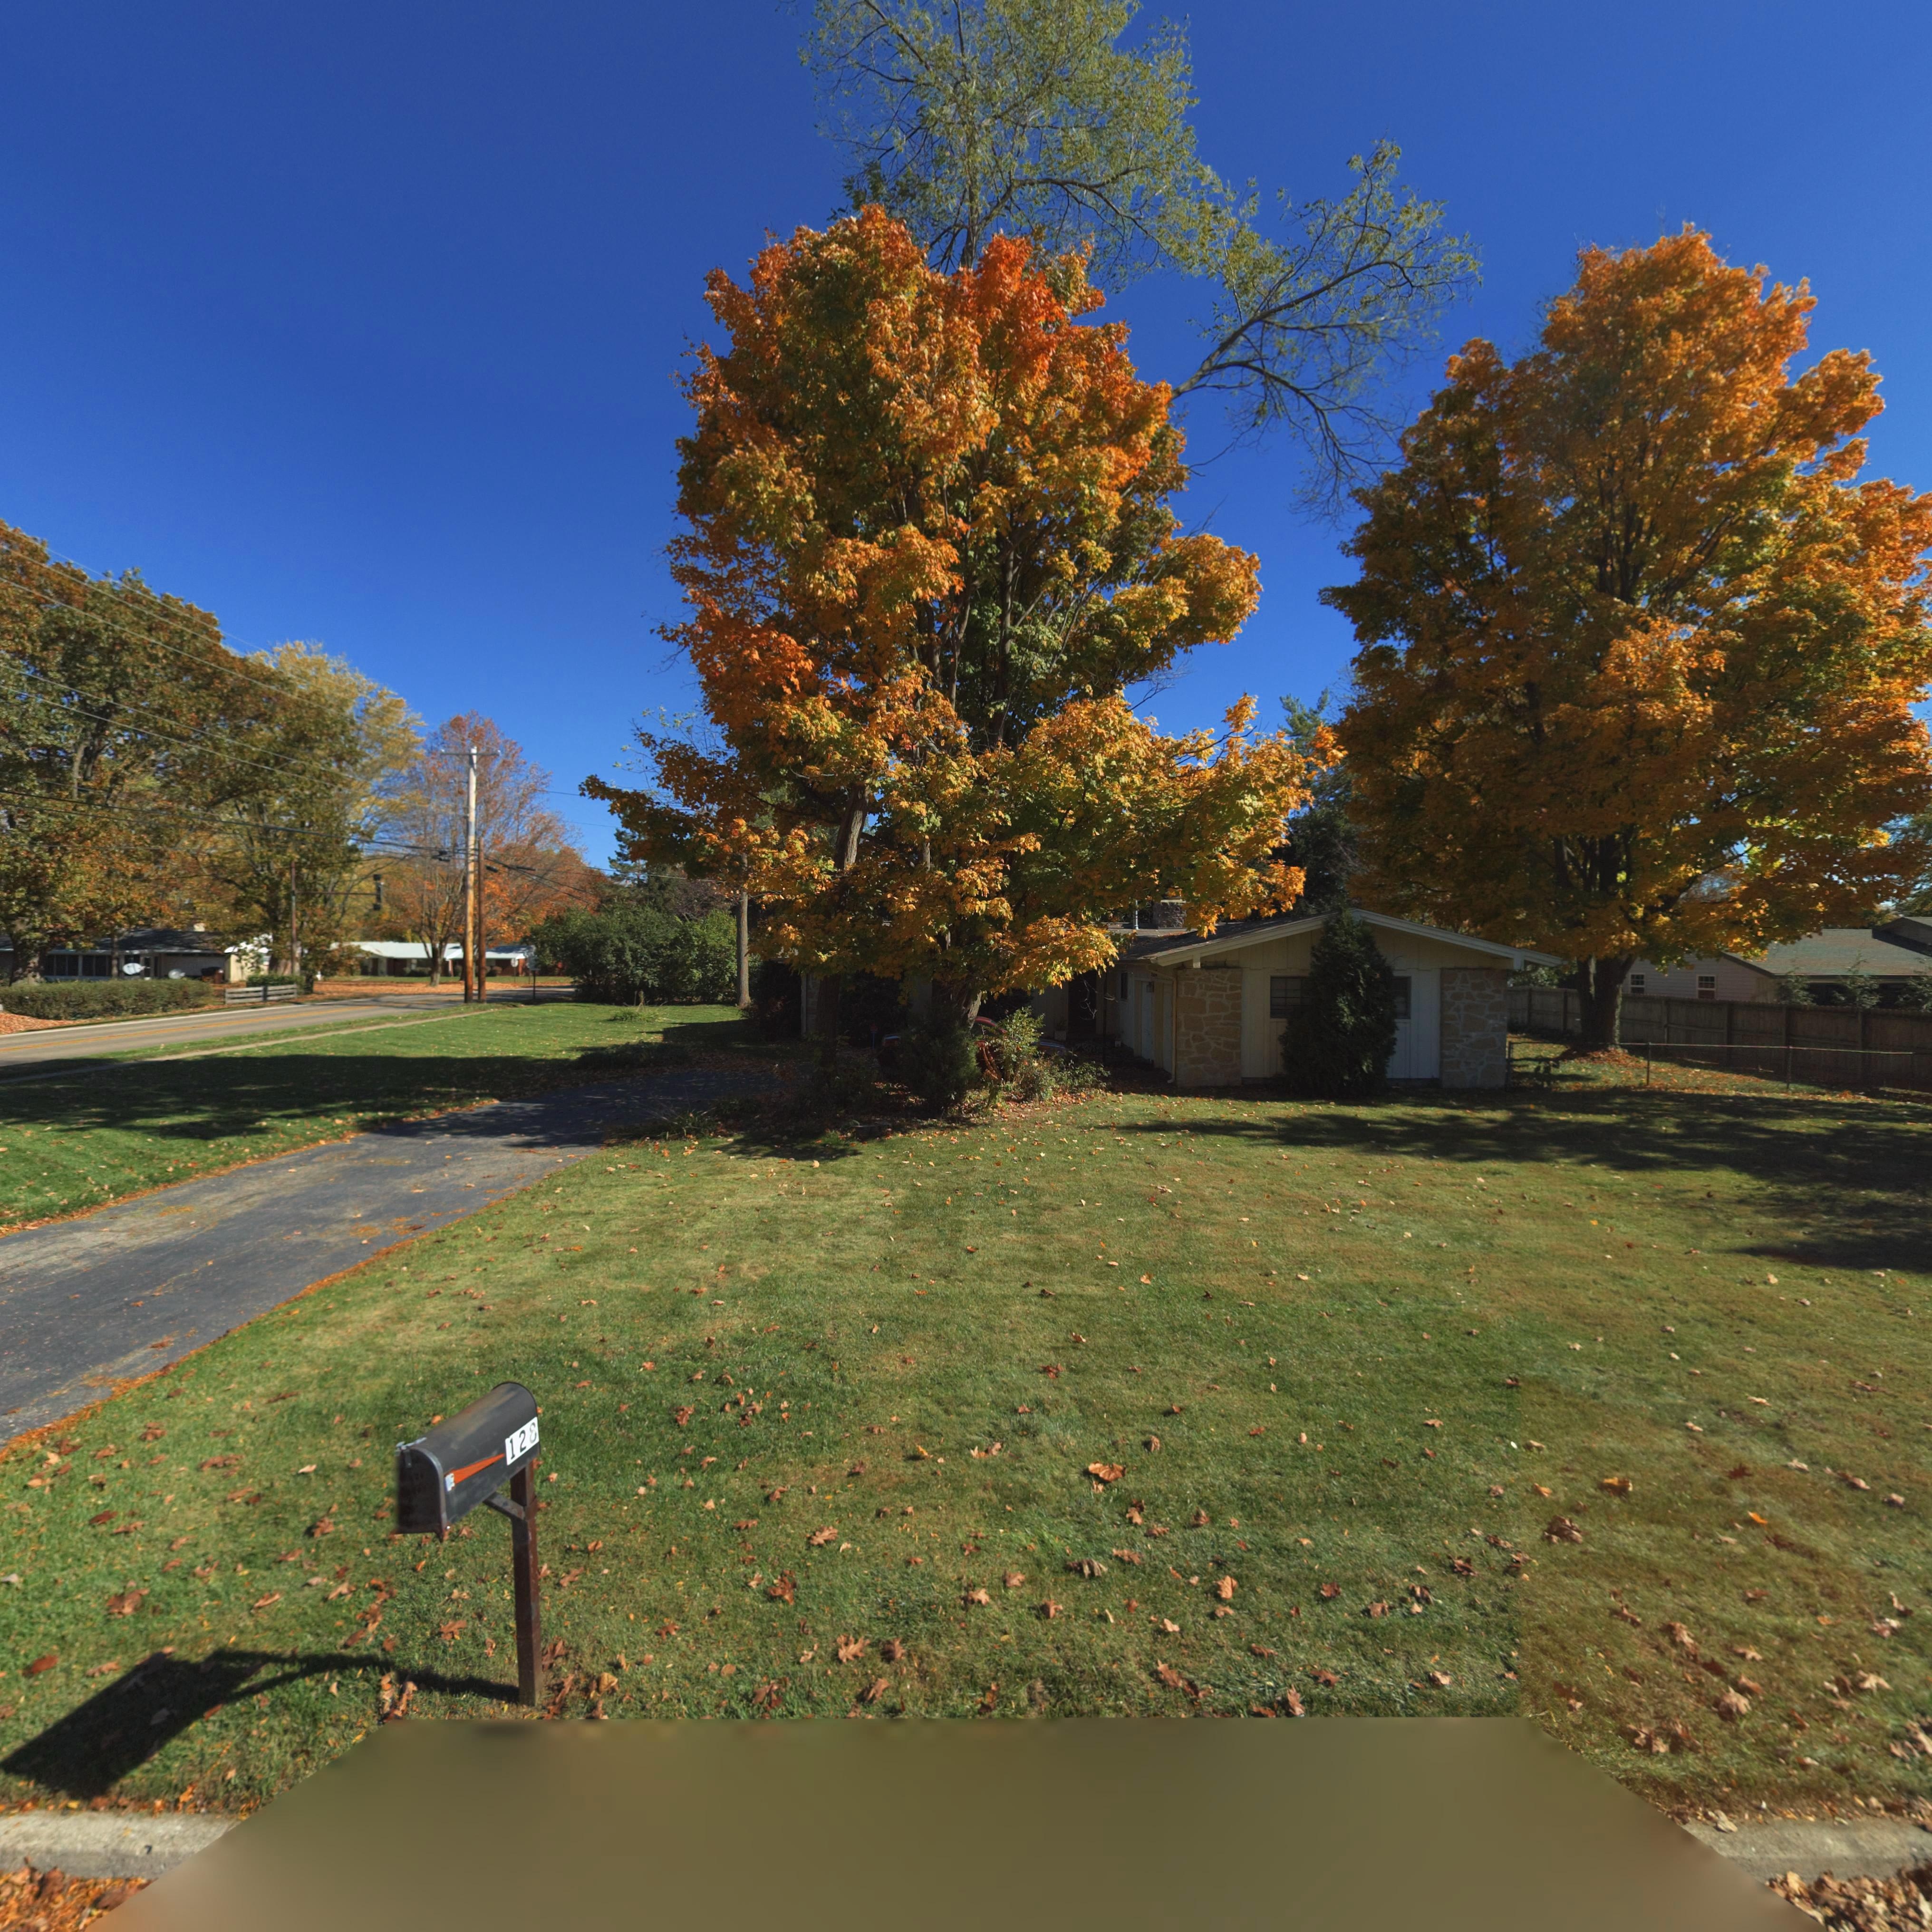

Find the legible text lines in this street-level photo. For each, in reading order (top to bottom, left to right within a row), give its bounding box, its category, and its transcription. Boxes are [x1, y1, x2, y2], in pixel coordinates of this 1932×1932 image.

[508, 1419, 538, 1462] StreetNumber: 128